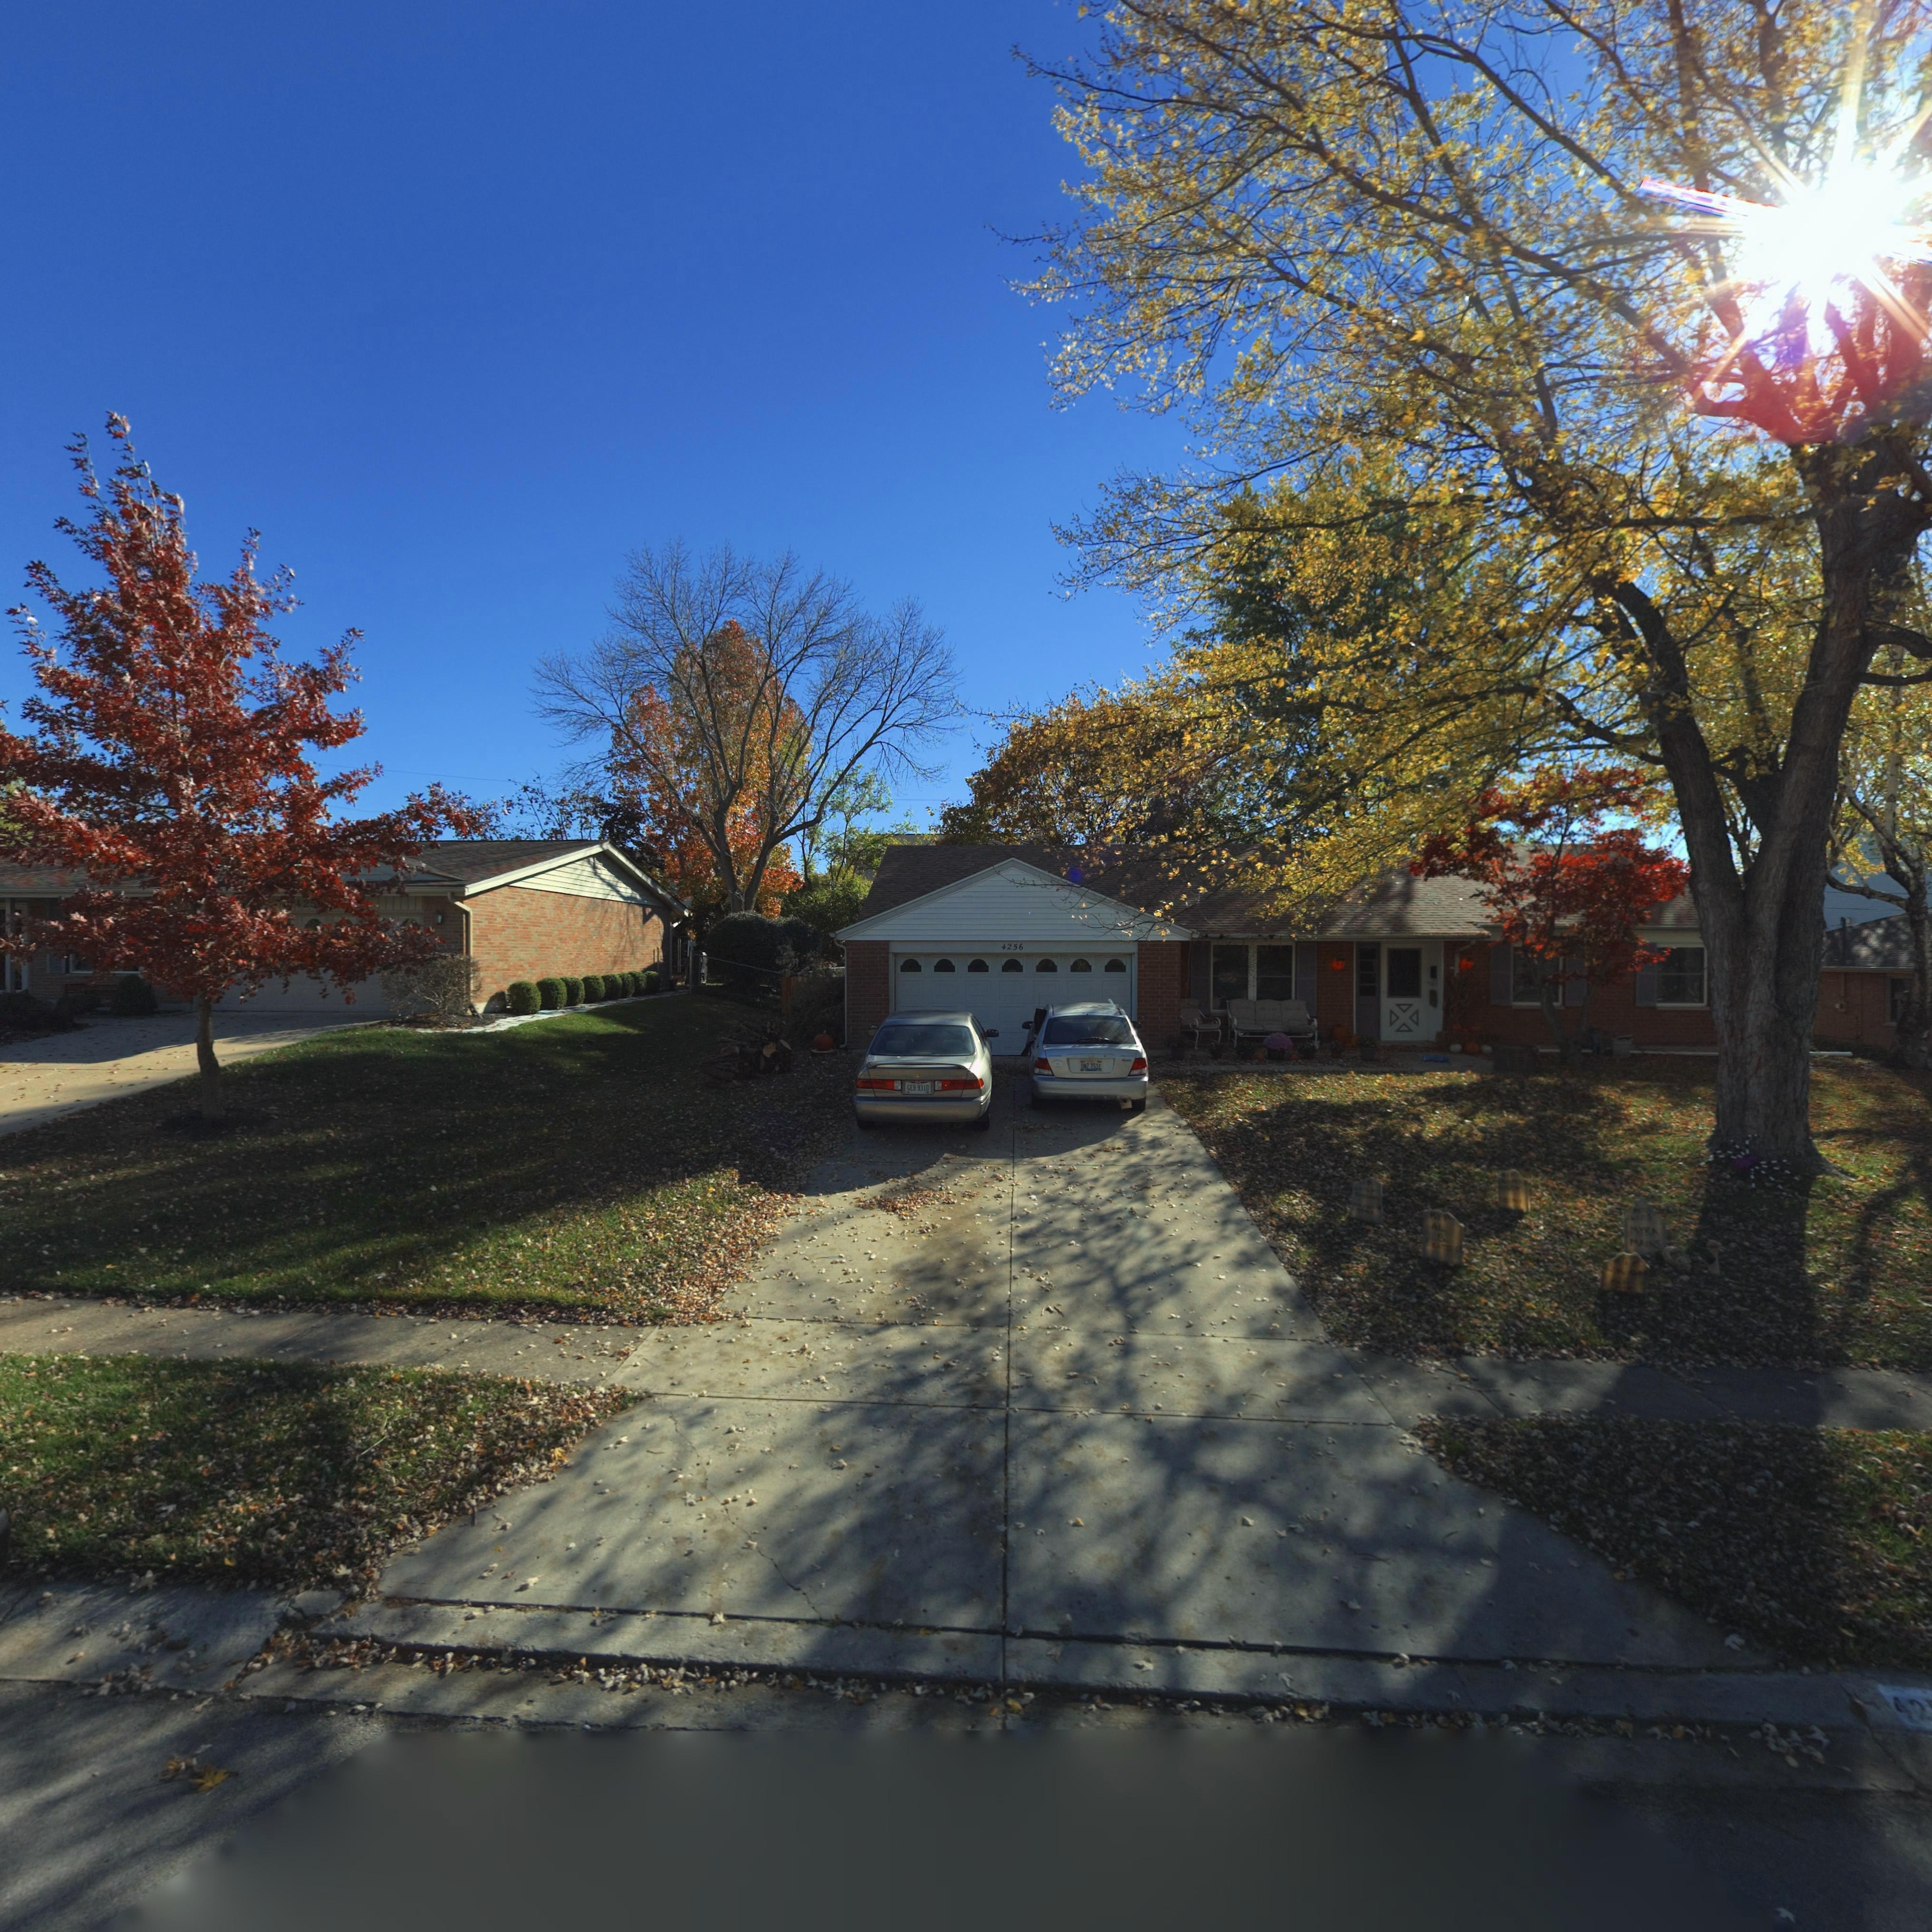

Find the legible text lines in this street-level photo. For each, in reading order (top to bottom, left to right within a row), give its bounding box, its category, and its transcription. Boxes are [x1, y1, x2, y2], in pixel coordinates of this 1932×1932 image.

[1000, 942, 1024, 952] StreetNumber: 4256
[1080, 1063, 1101, 1071] None: D*Z*7531
[906, 1083, 929, 1092] None: GEB*9310
[1890, 1693, 1932, 1723] StreetNumber: 42